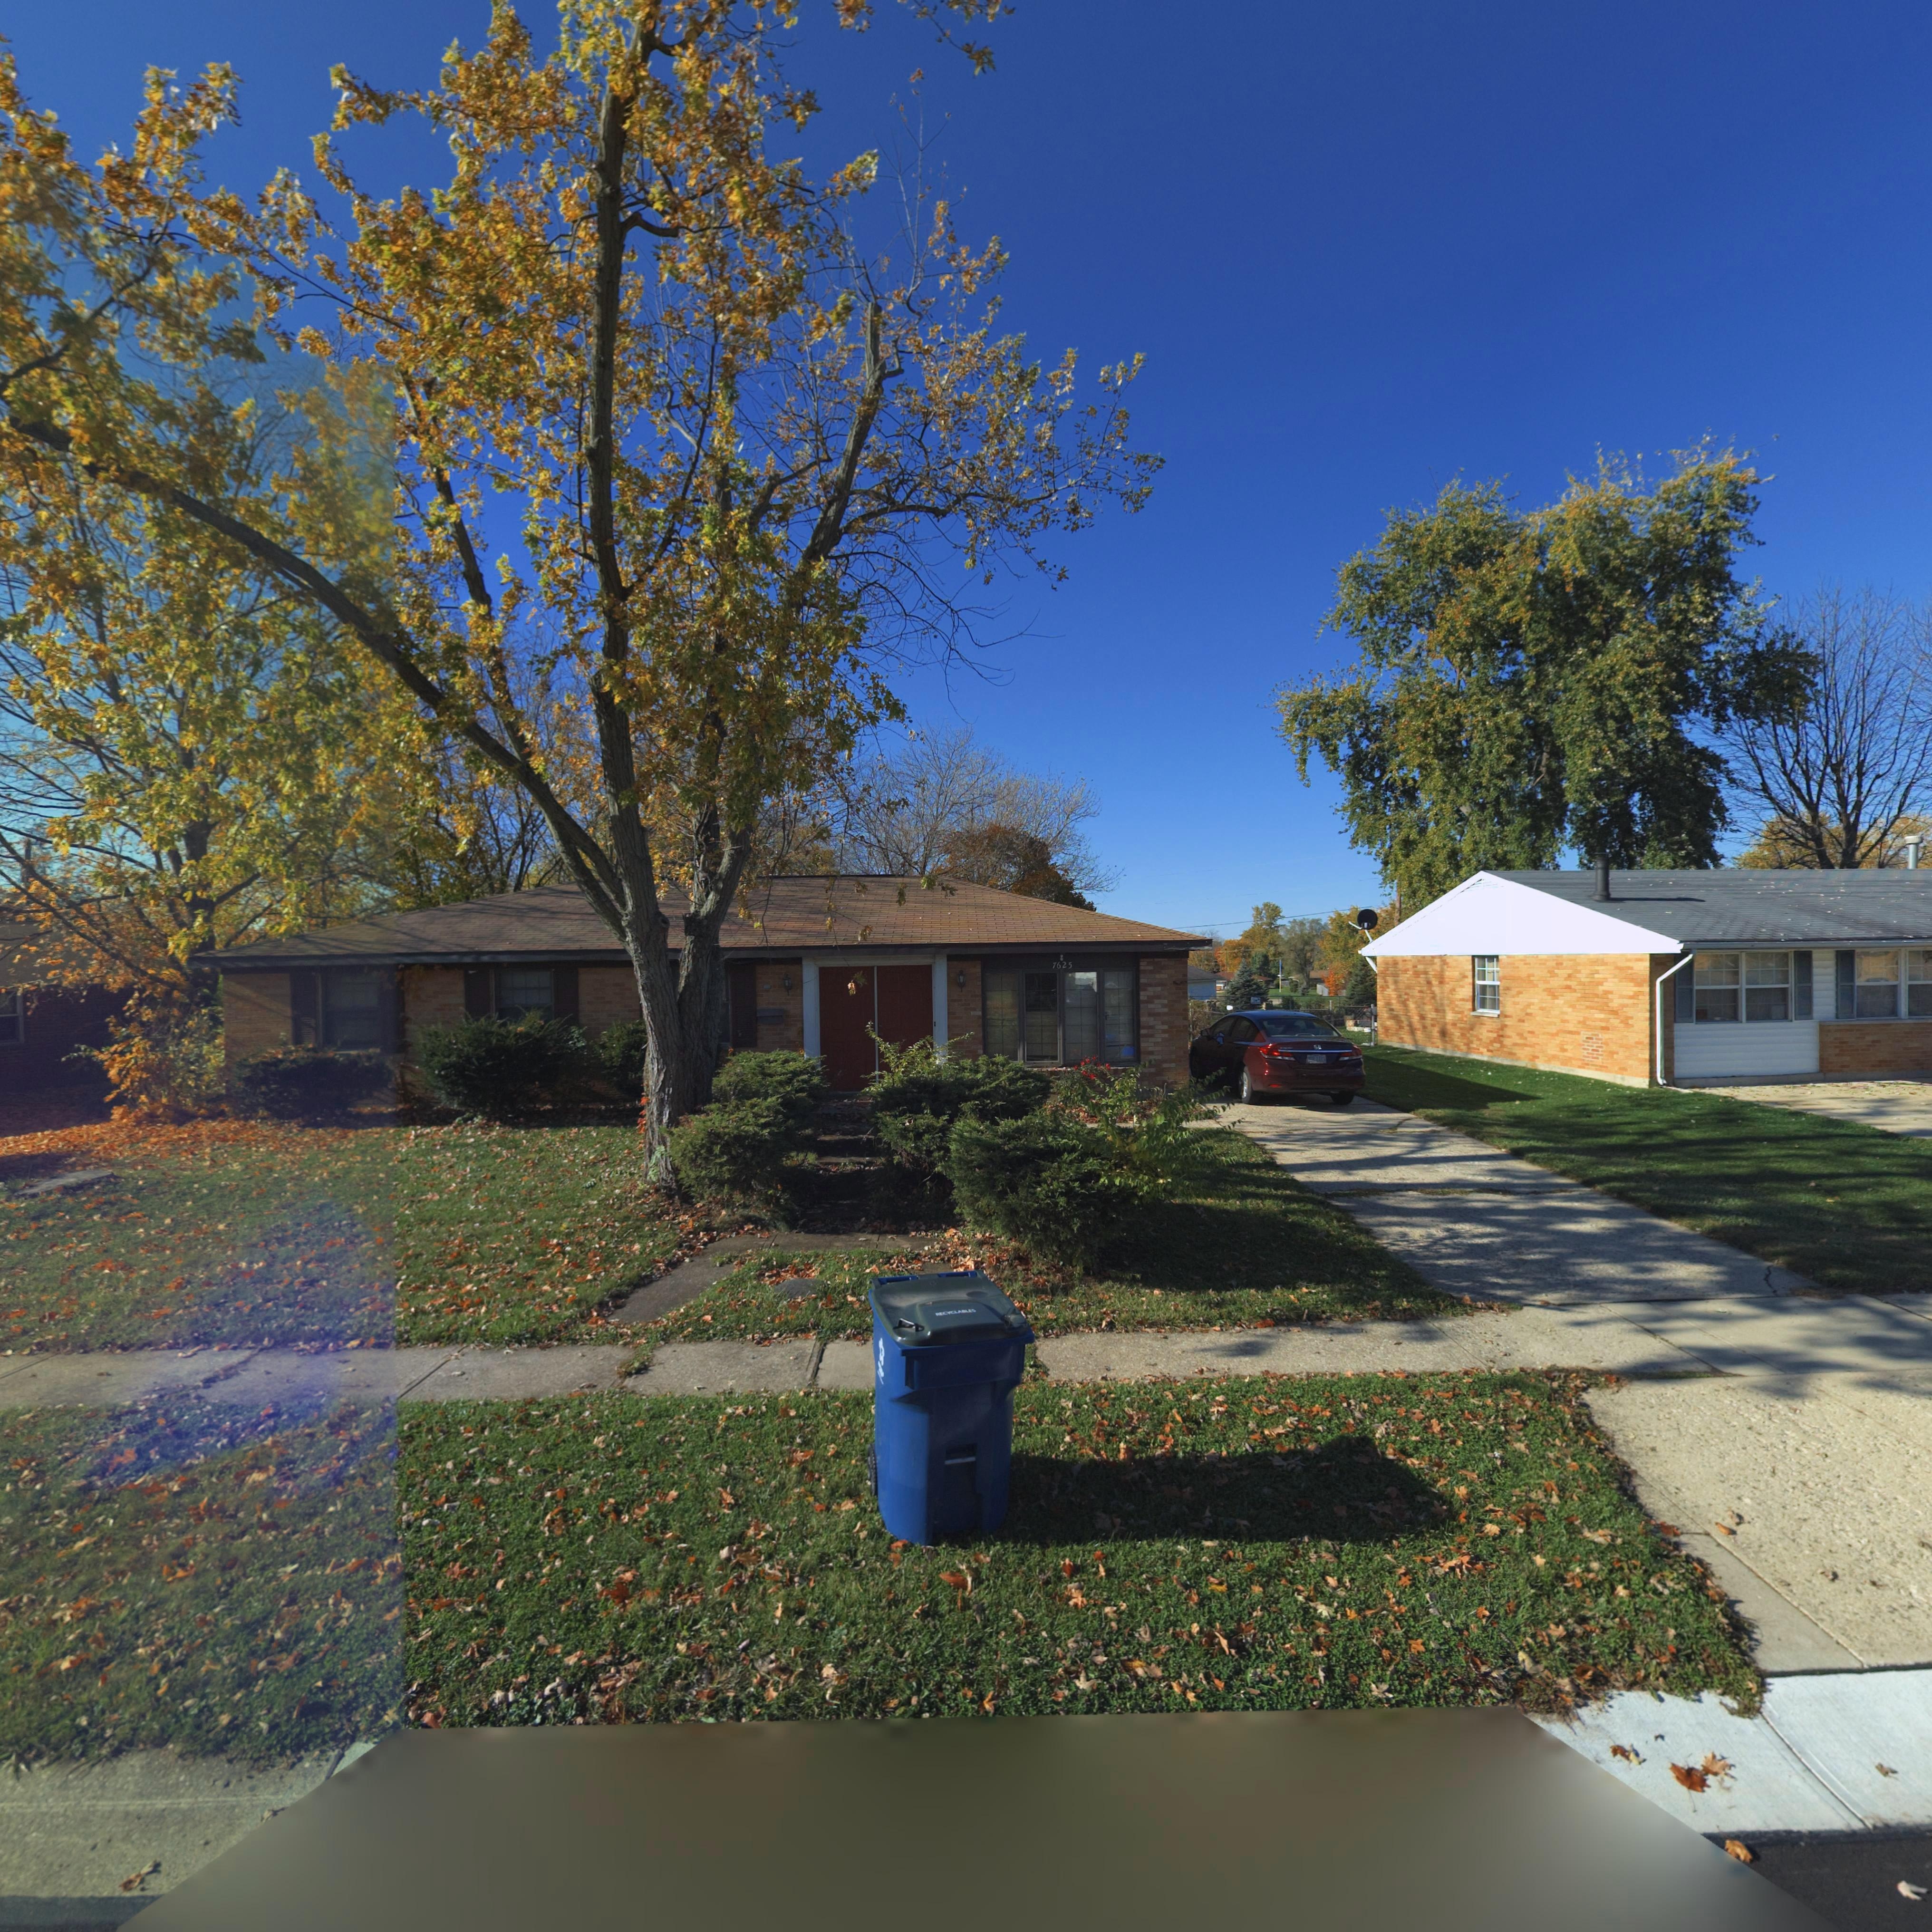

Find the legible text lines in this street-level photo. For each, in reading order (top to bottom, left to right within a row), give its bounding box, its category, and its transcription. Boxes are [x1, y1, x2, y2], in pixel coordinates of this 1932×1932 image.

[1051, 960, 1073, 970] StreetNumber: 7625